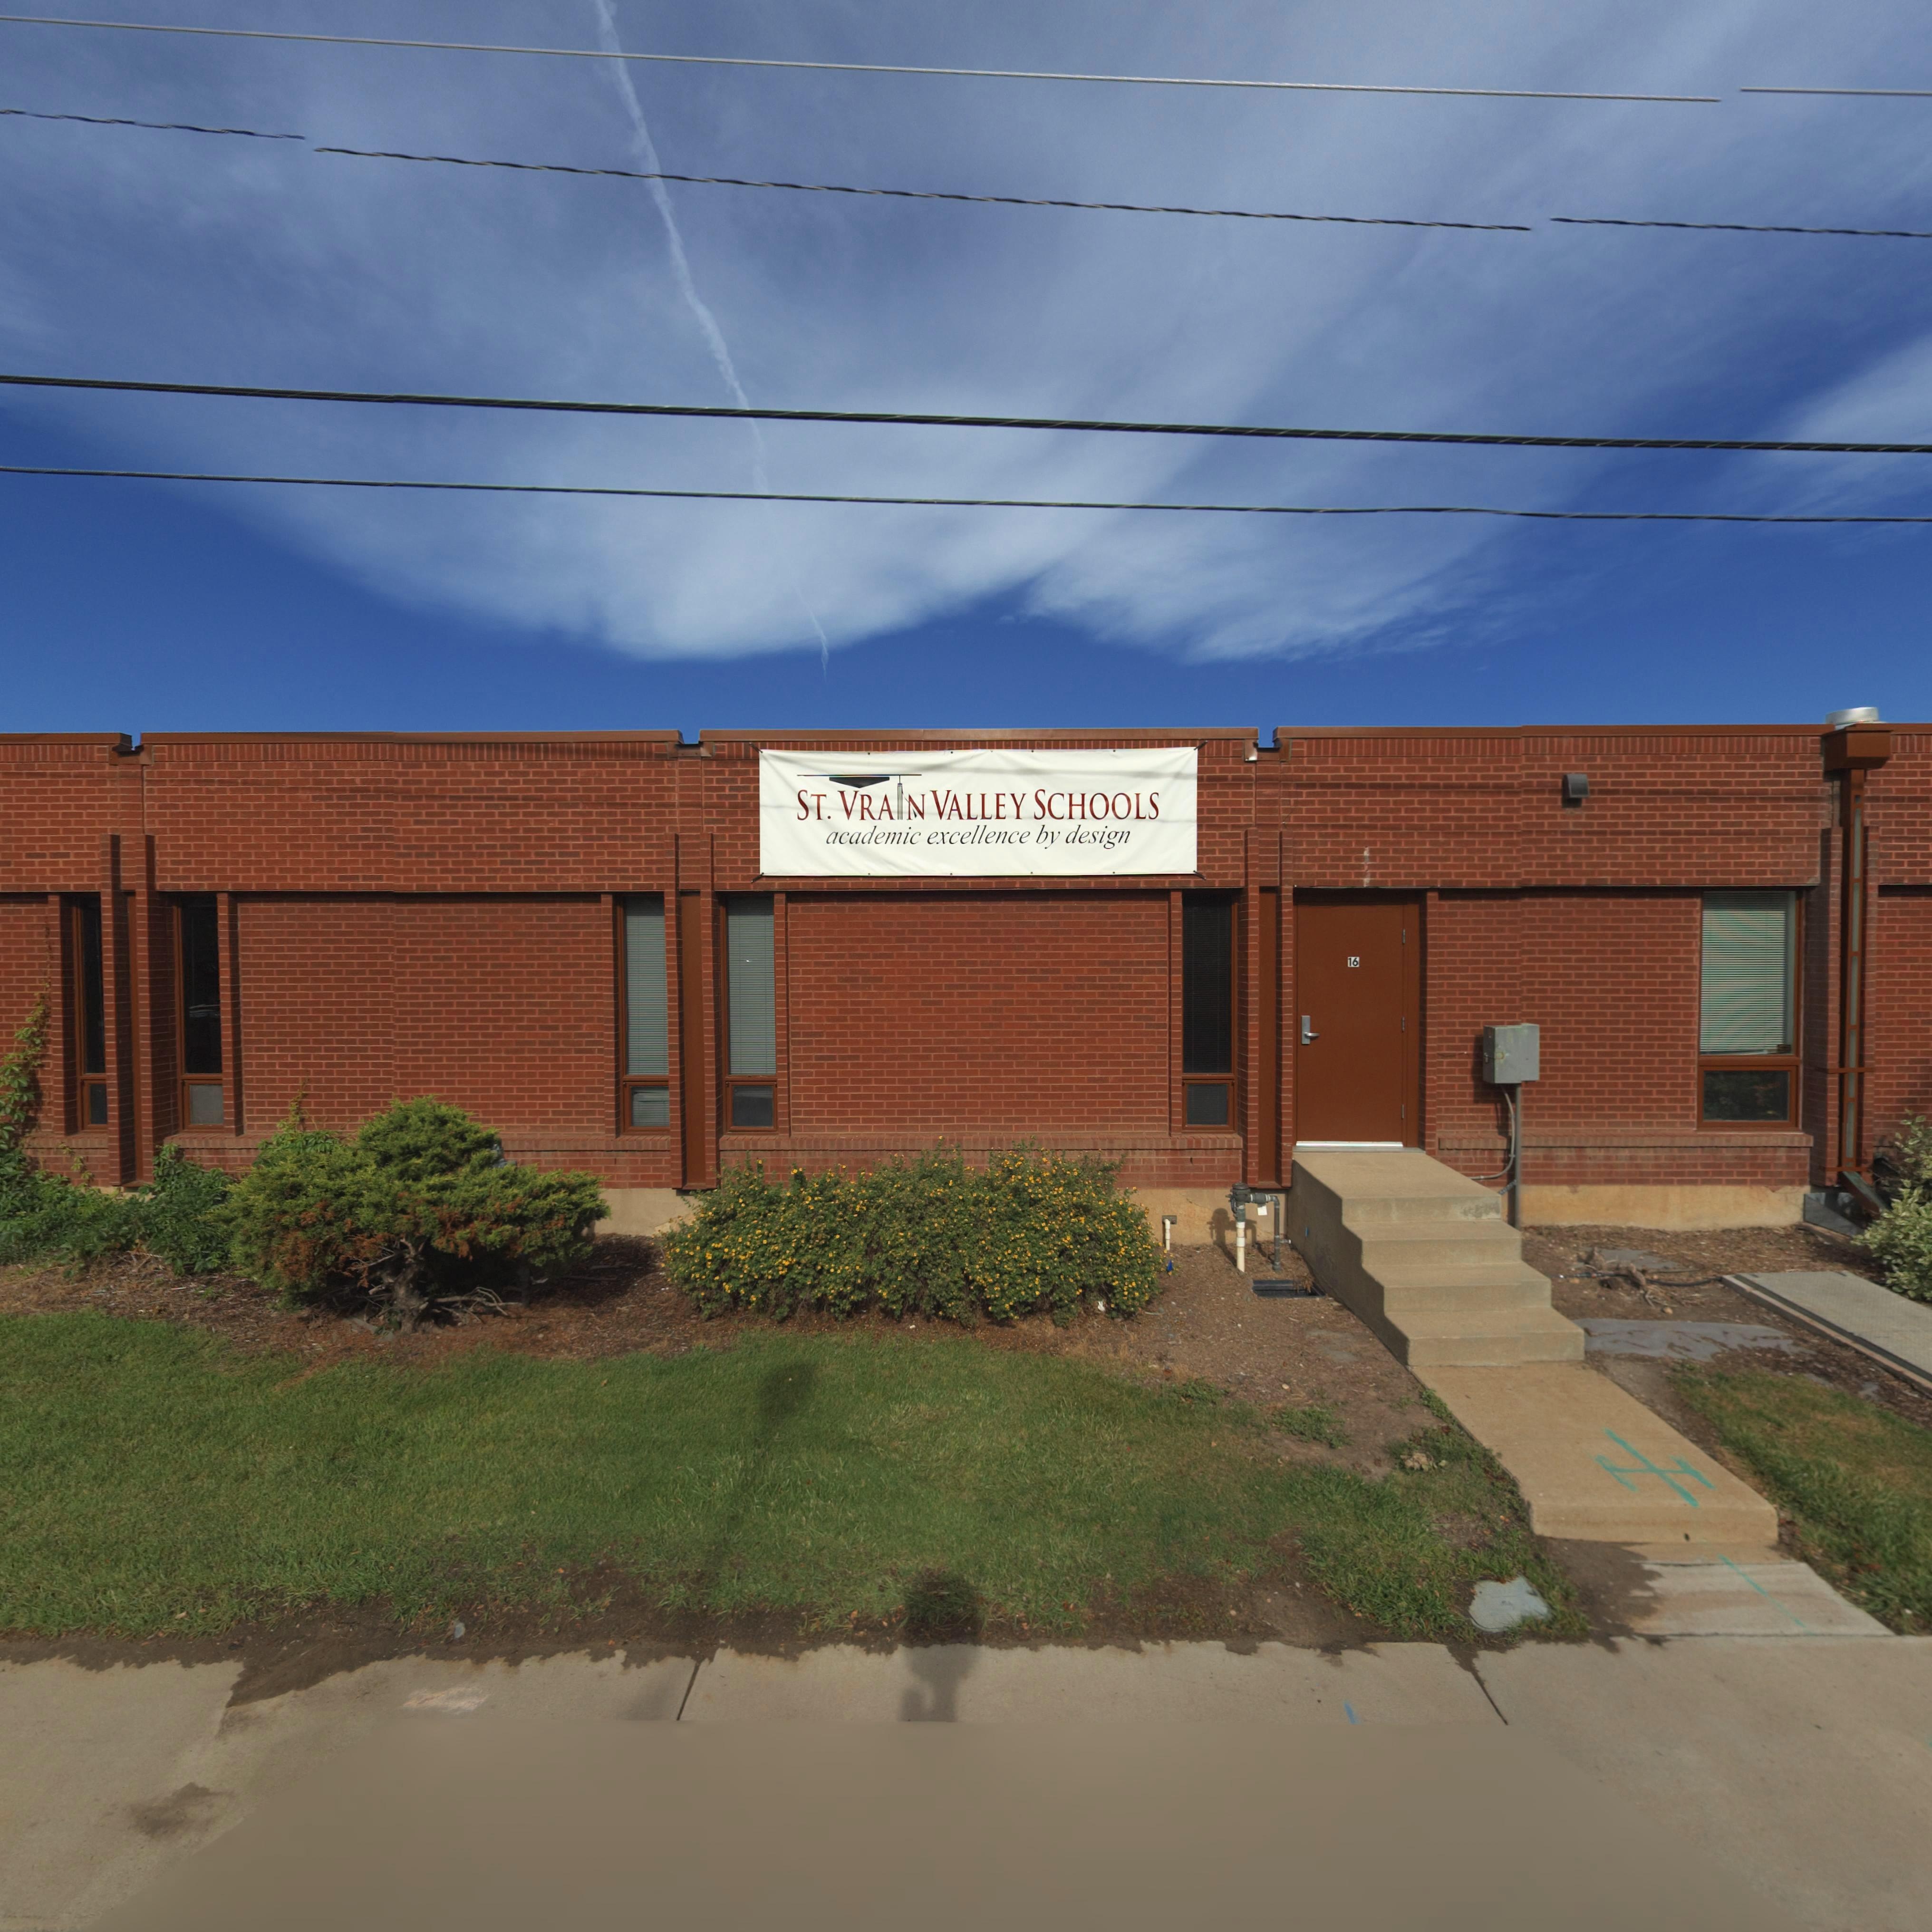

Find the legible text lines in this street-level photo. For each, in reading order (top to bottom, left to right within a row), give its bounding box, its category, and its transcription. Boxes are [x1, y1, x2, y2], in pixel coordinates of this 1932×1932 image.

[796, 773, 1160, 821] BusinessName: ST* VRA*N VALLEY SCHOOLS